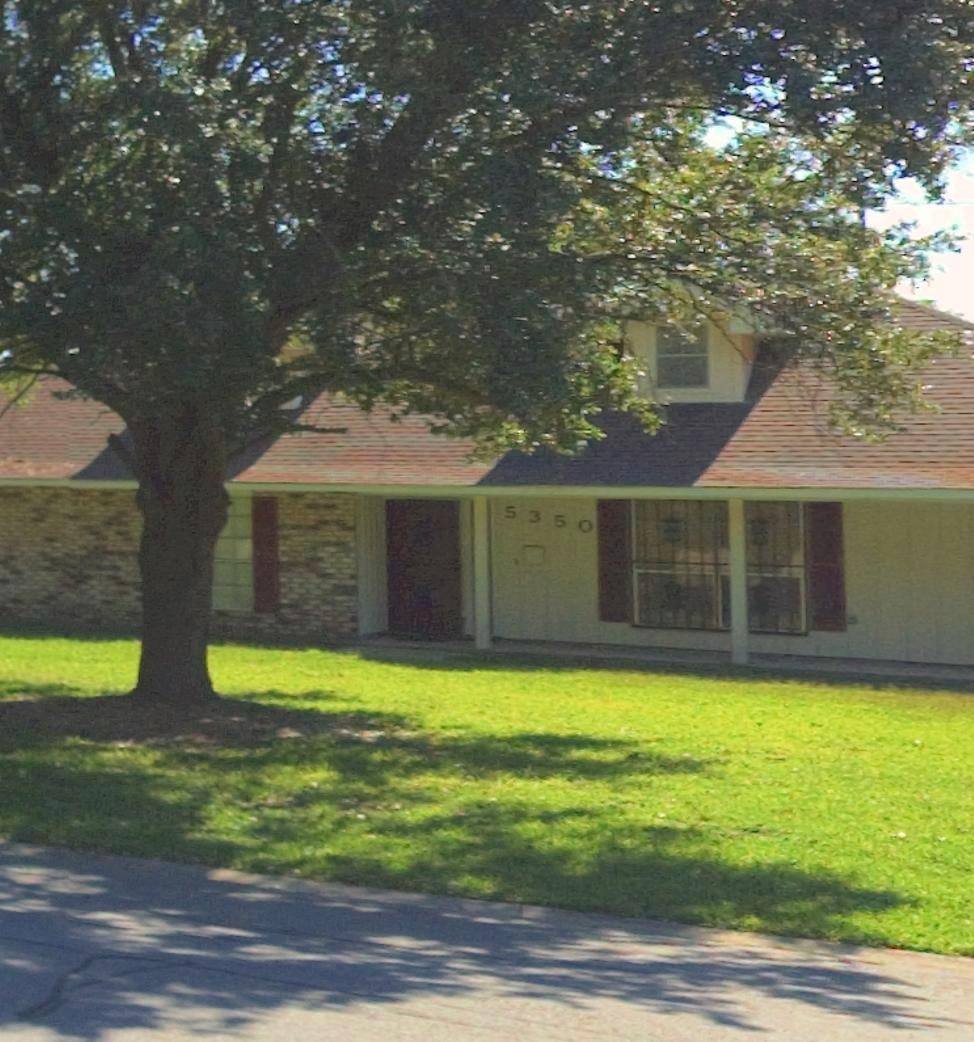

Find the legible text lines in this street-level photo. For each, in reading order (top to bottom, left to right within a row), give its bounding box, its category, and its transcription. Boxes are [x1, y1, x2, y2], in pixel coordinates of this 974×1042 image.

[501, 503, 594, 536] StreetNumber: 5350